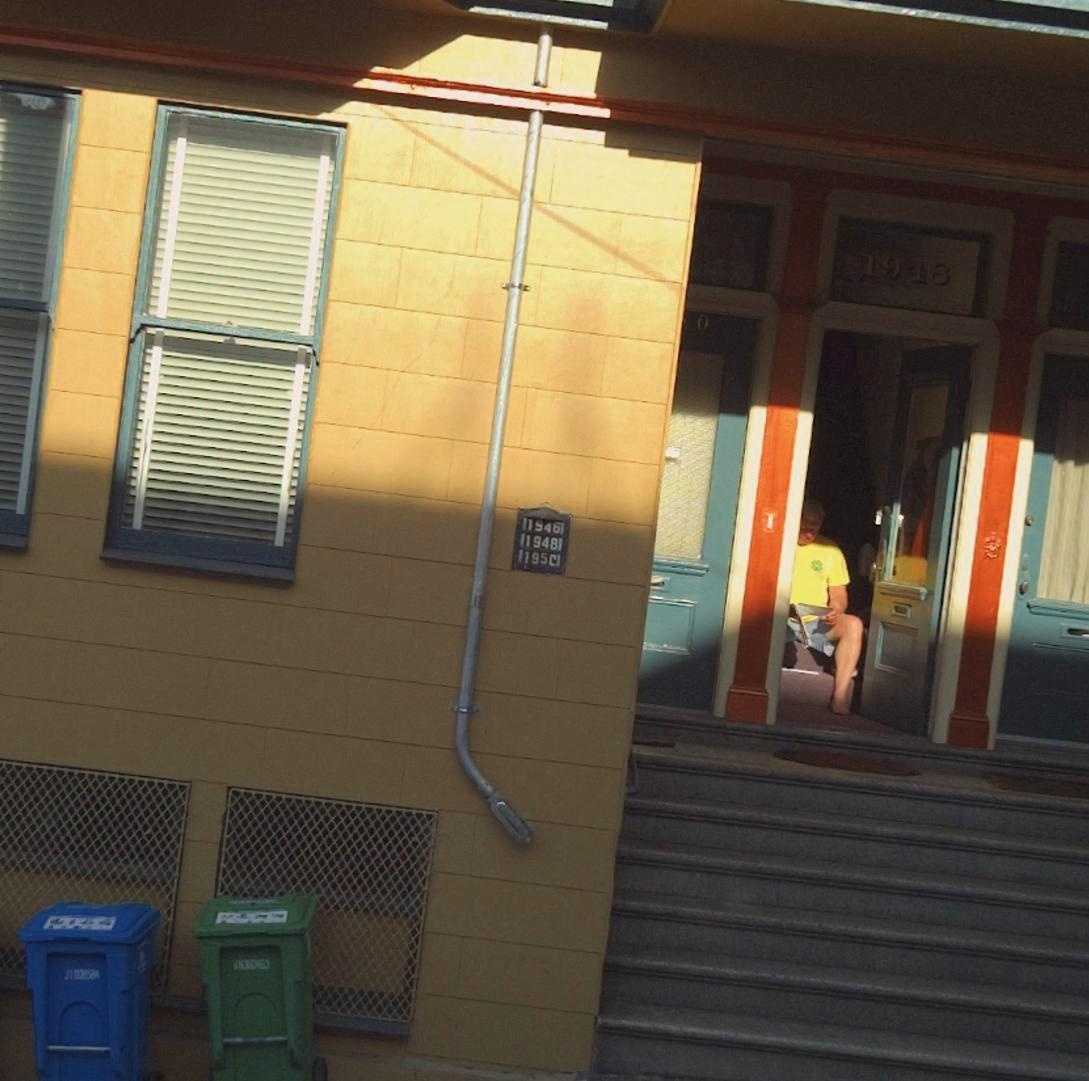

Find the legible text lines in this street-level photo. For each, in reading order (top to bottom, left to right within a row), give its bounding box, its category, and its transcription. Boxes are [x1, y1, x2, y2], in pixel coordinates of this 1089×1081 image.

[860, 251, 953, 290] StreetNumber: 1948
[692, 311, 715, 335] None: 0
[526, 516, 562, 536] StreetNumber: 1946
[525, 531, 560, 552] StreetNumber: 1948
[524, 549, 558, 568] StreetNumber: 1950